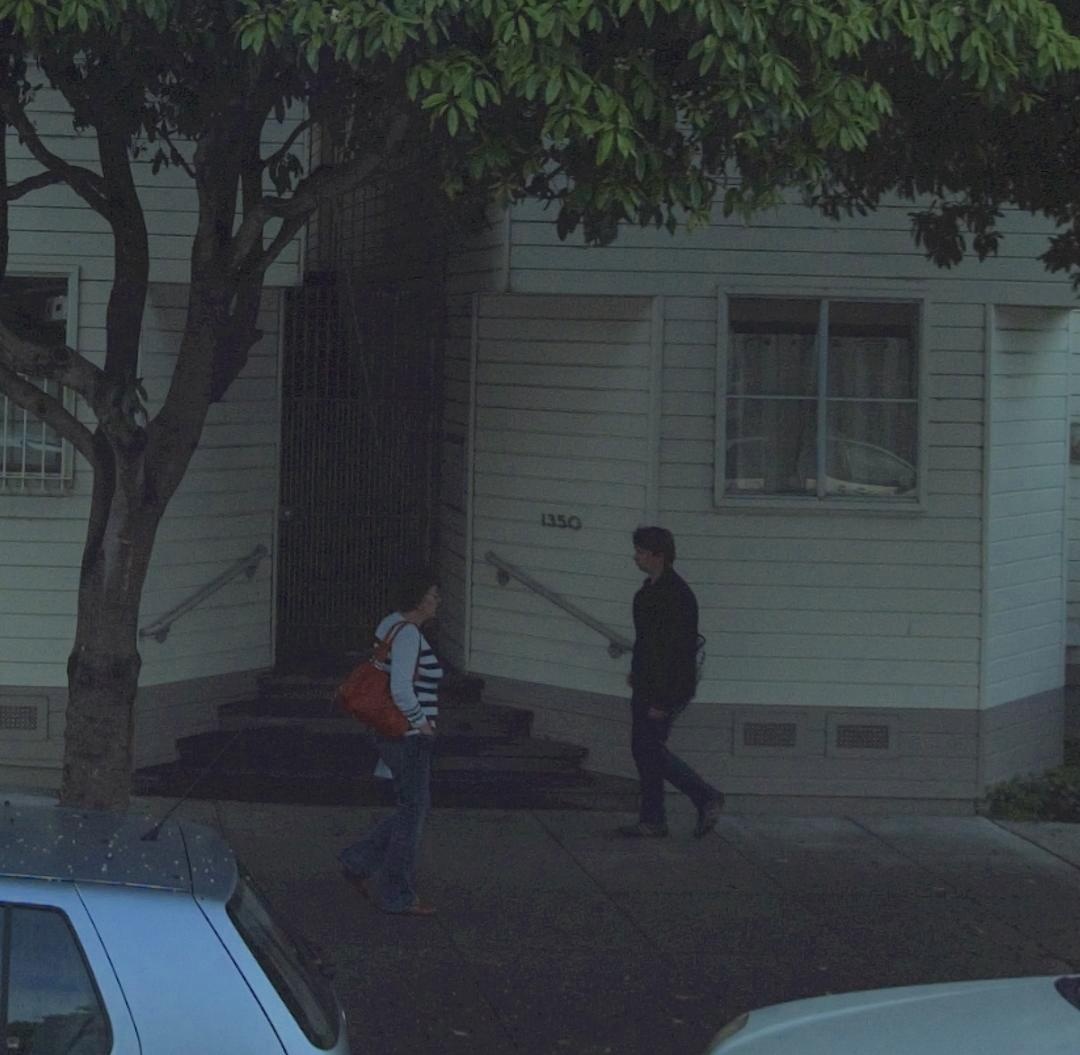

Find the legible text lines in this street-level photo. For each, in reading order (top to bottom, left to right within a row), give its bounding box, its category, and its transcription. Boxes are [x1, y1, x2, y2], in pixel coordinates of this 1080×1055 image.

[538, 509, 585, 534] StreetNumber: 1350